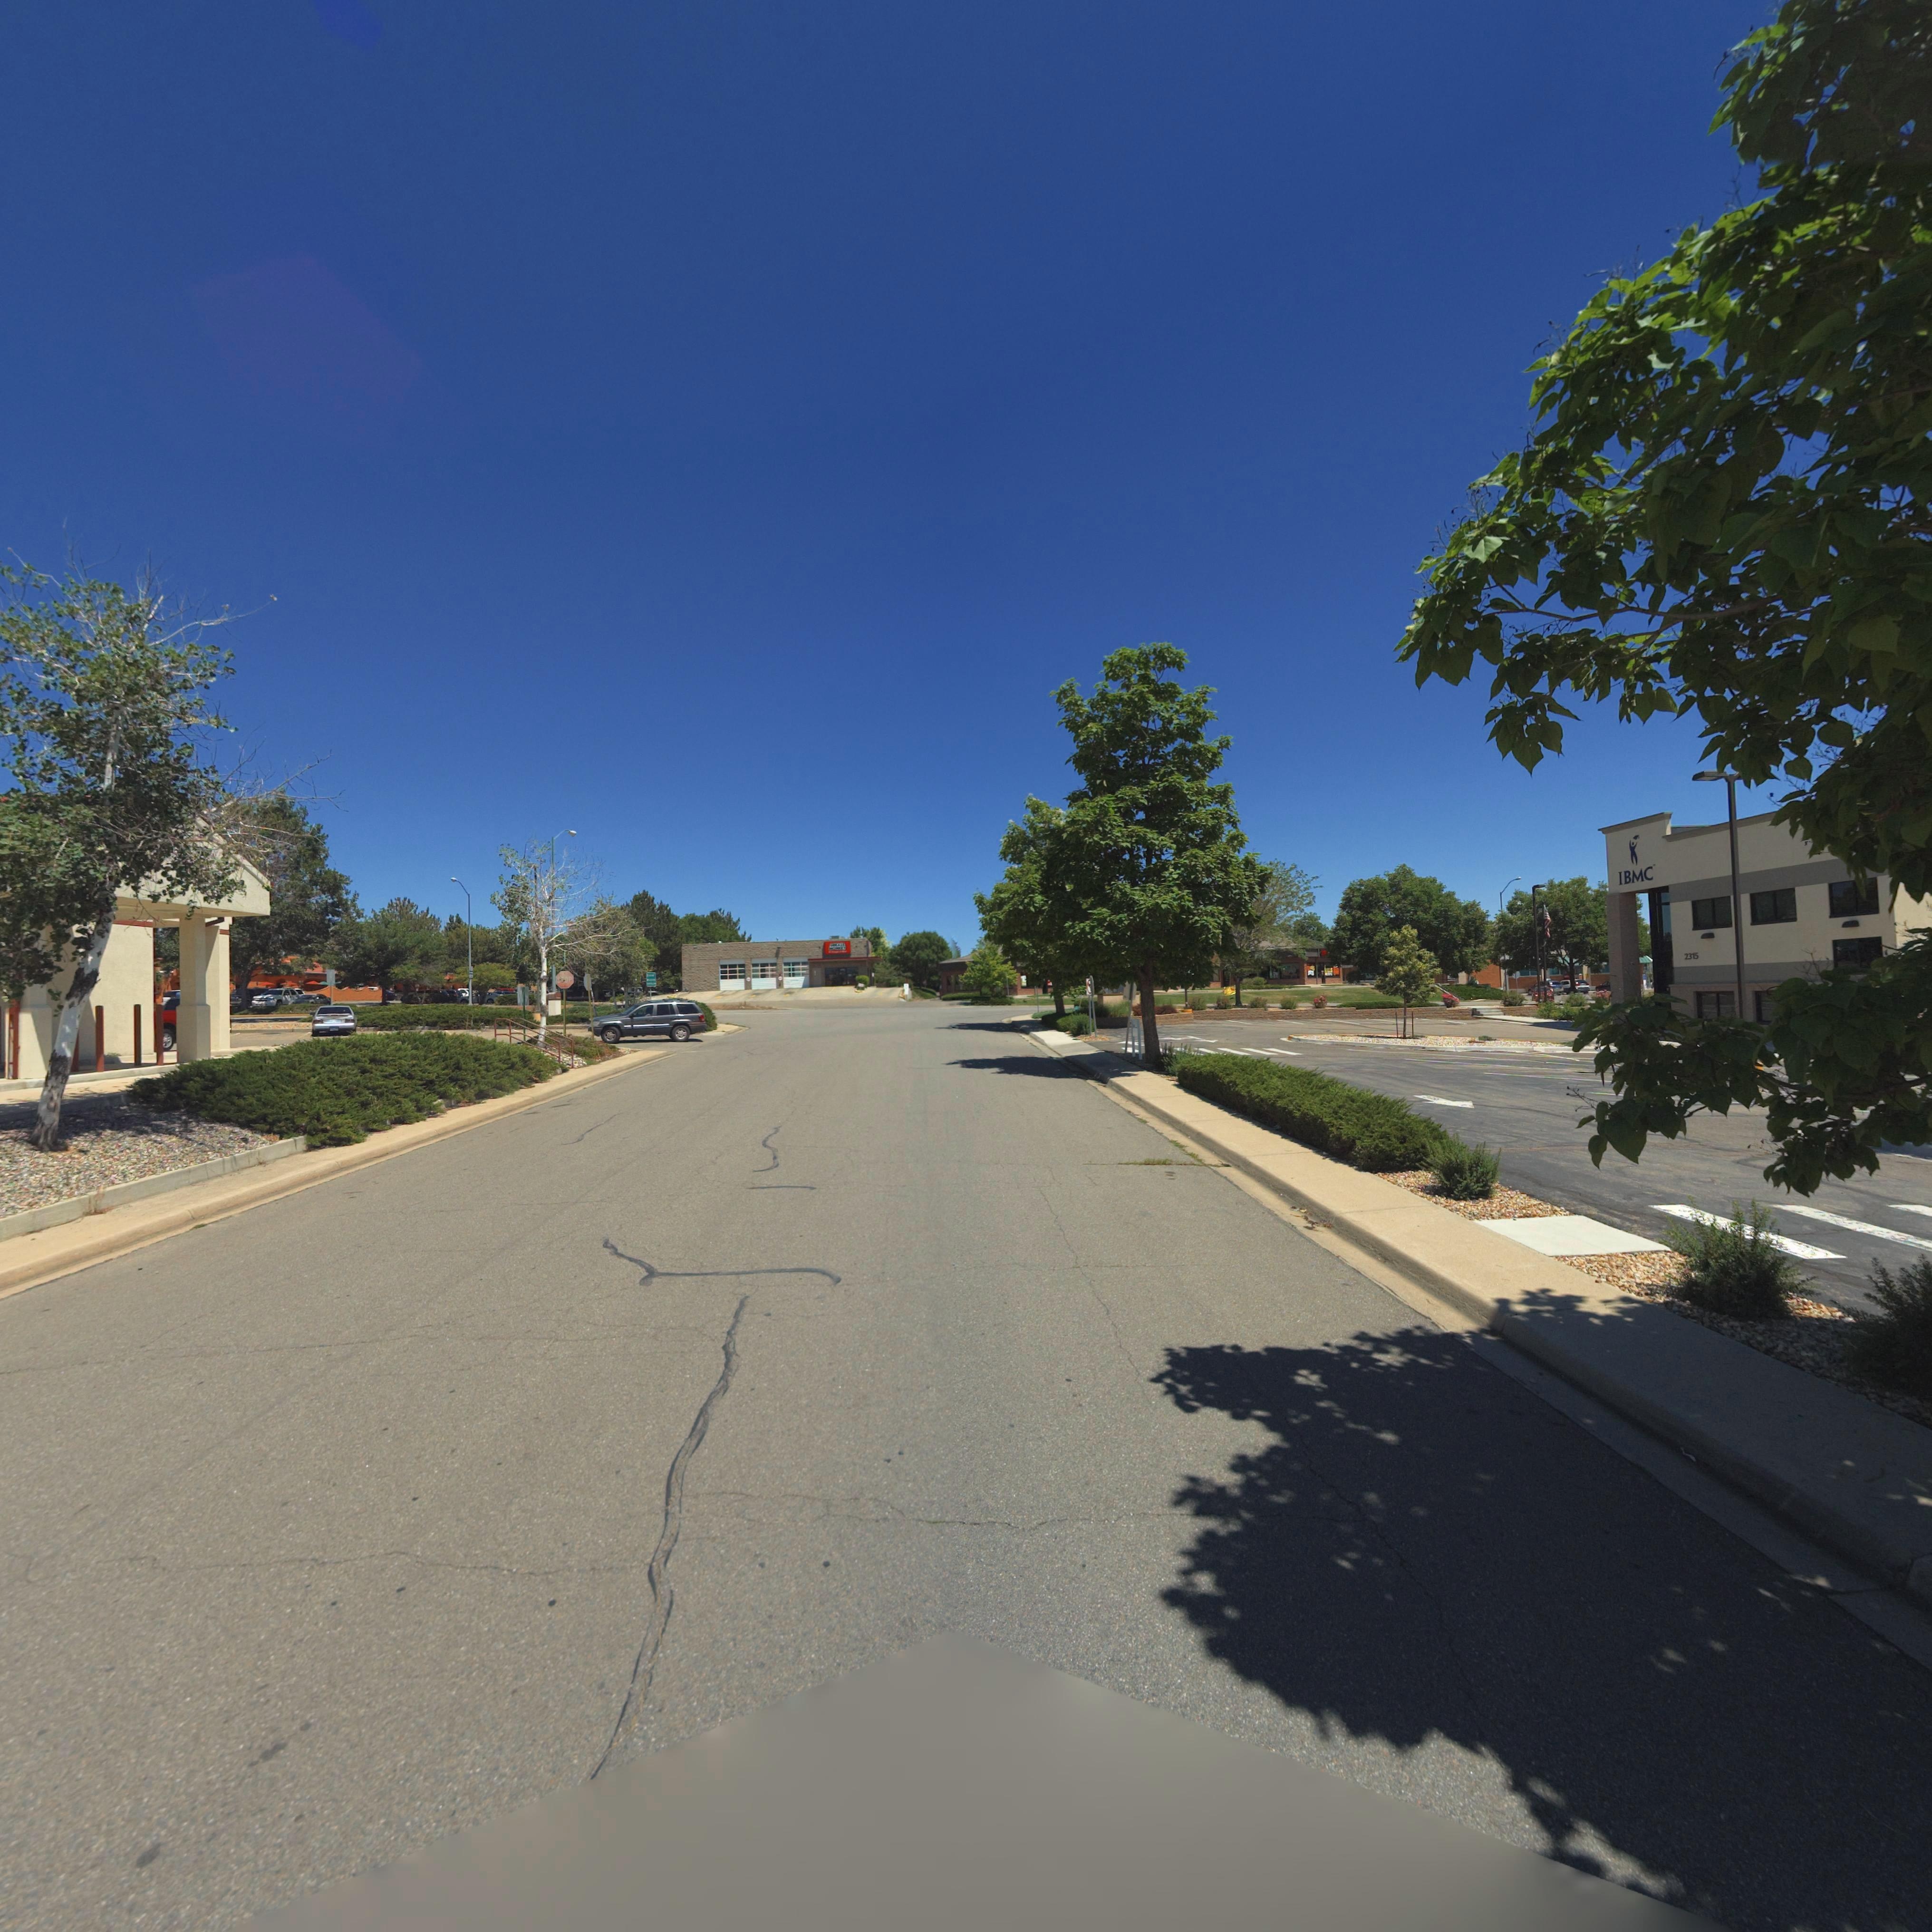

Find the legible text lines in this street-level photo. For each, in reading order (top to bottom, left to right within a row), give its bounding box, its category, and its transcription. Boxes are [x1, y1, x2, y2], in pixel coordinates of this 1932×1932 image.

[1617, 866, 1654, 886] BusinessName: IBMC
[829, 943, 845, 946] BusinessName: G****E
[1684, 952, 1699, 960] StreetNumber: 2315